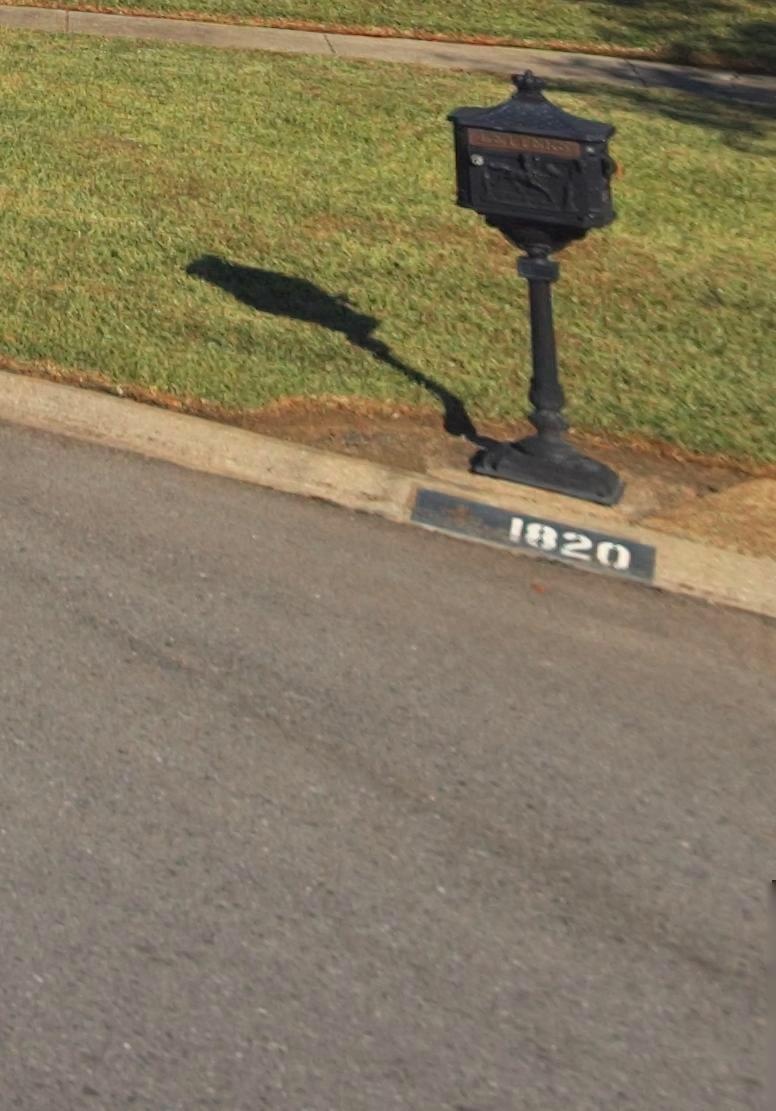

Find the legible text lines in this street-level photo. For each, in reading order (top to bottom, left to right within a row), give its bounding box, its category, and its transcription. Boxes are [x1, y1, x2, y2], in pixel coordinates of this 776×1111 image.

[505, 513, 633, 575] StreetNumber: 1820